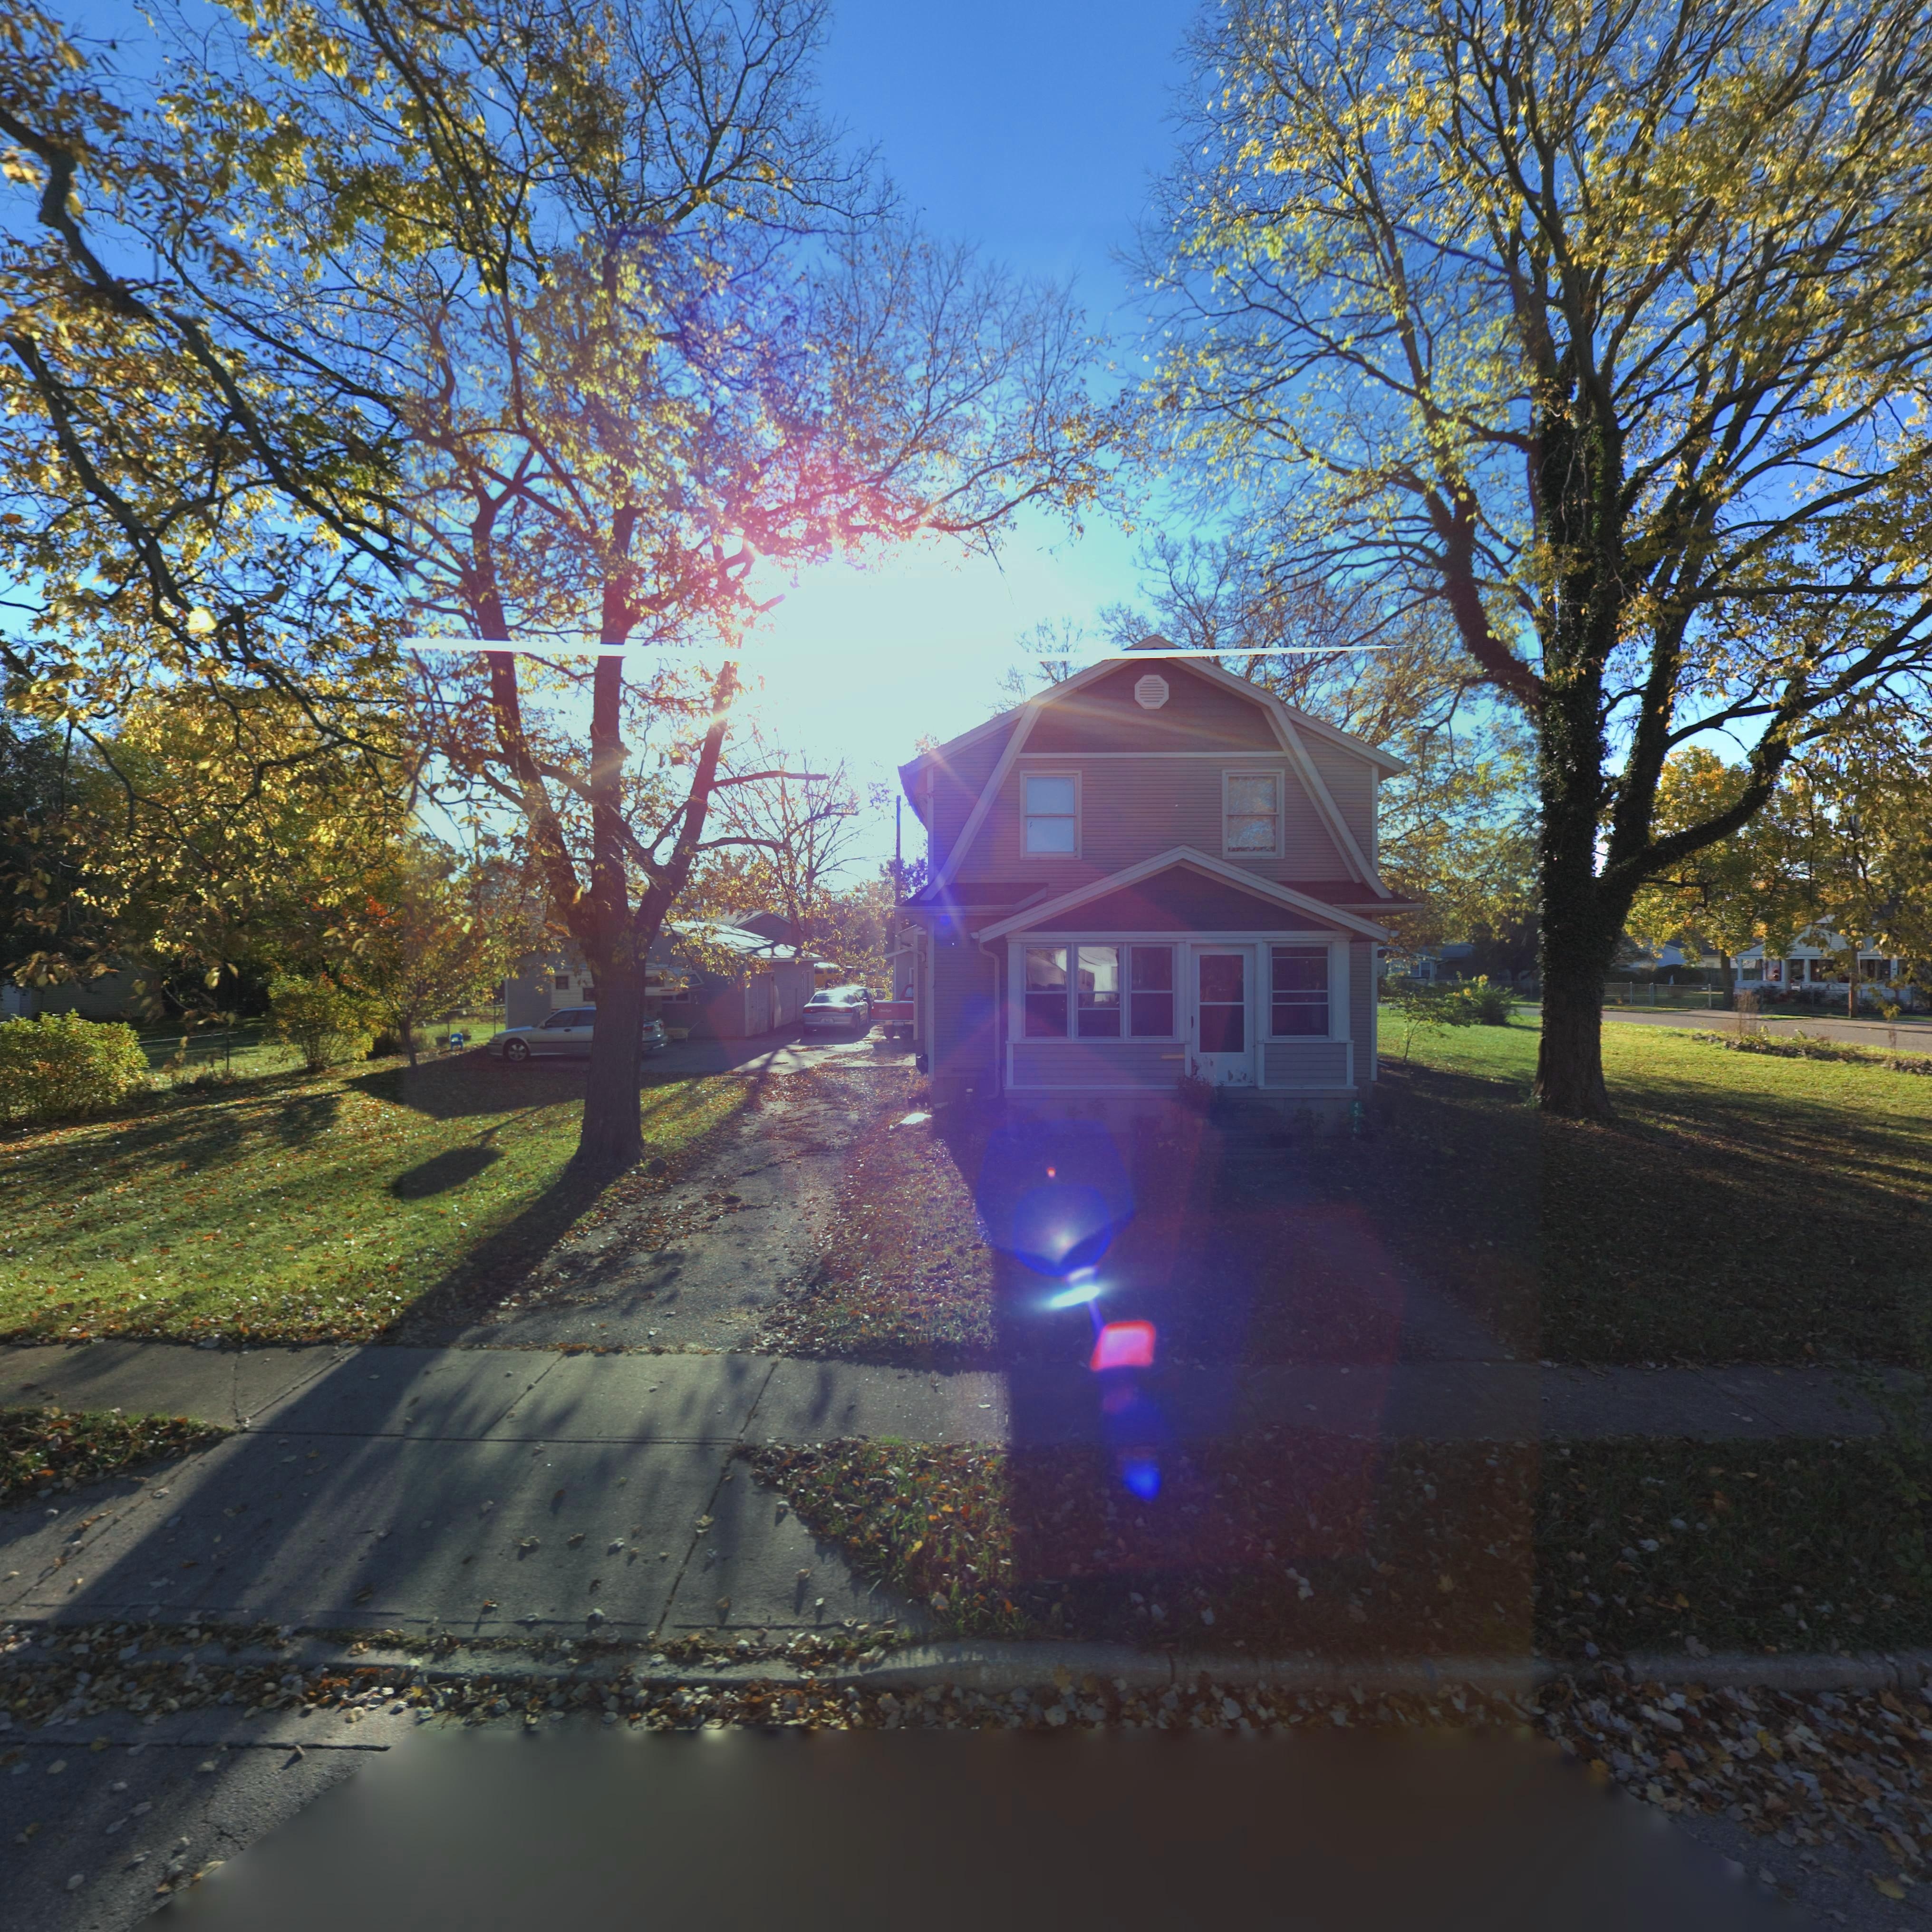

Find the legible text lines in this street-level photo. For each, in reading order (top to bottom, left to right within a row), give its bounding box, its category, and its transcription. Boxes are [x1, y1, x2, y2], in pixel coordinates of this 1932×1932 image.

[1352, 1101, 1359, 1134] StreetNumber: 4516